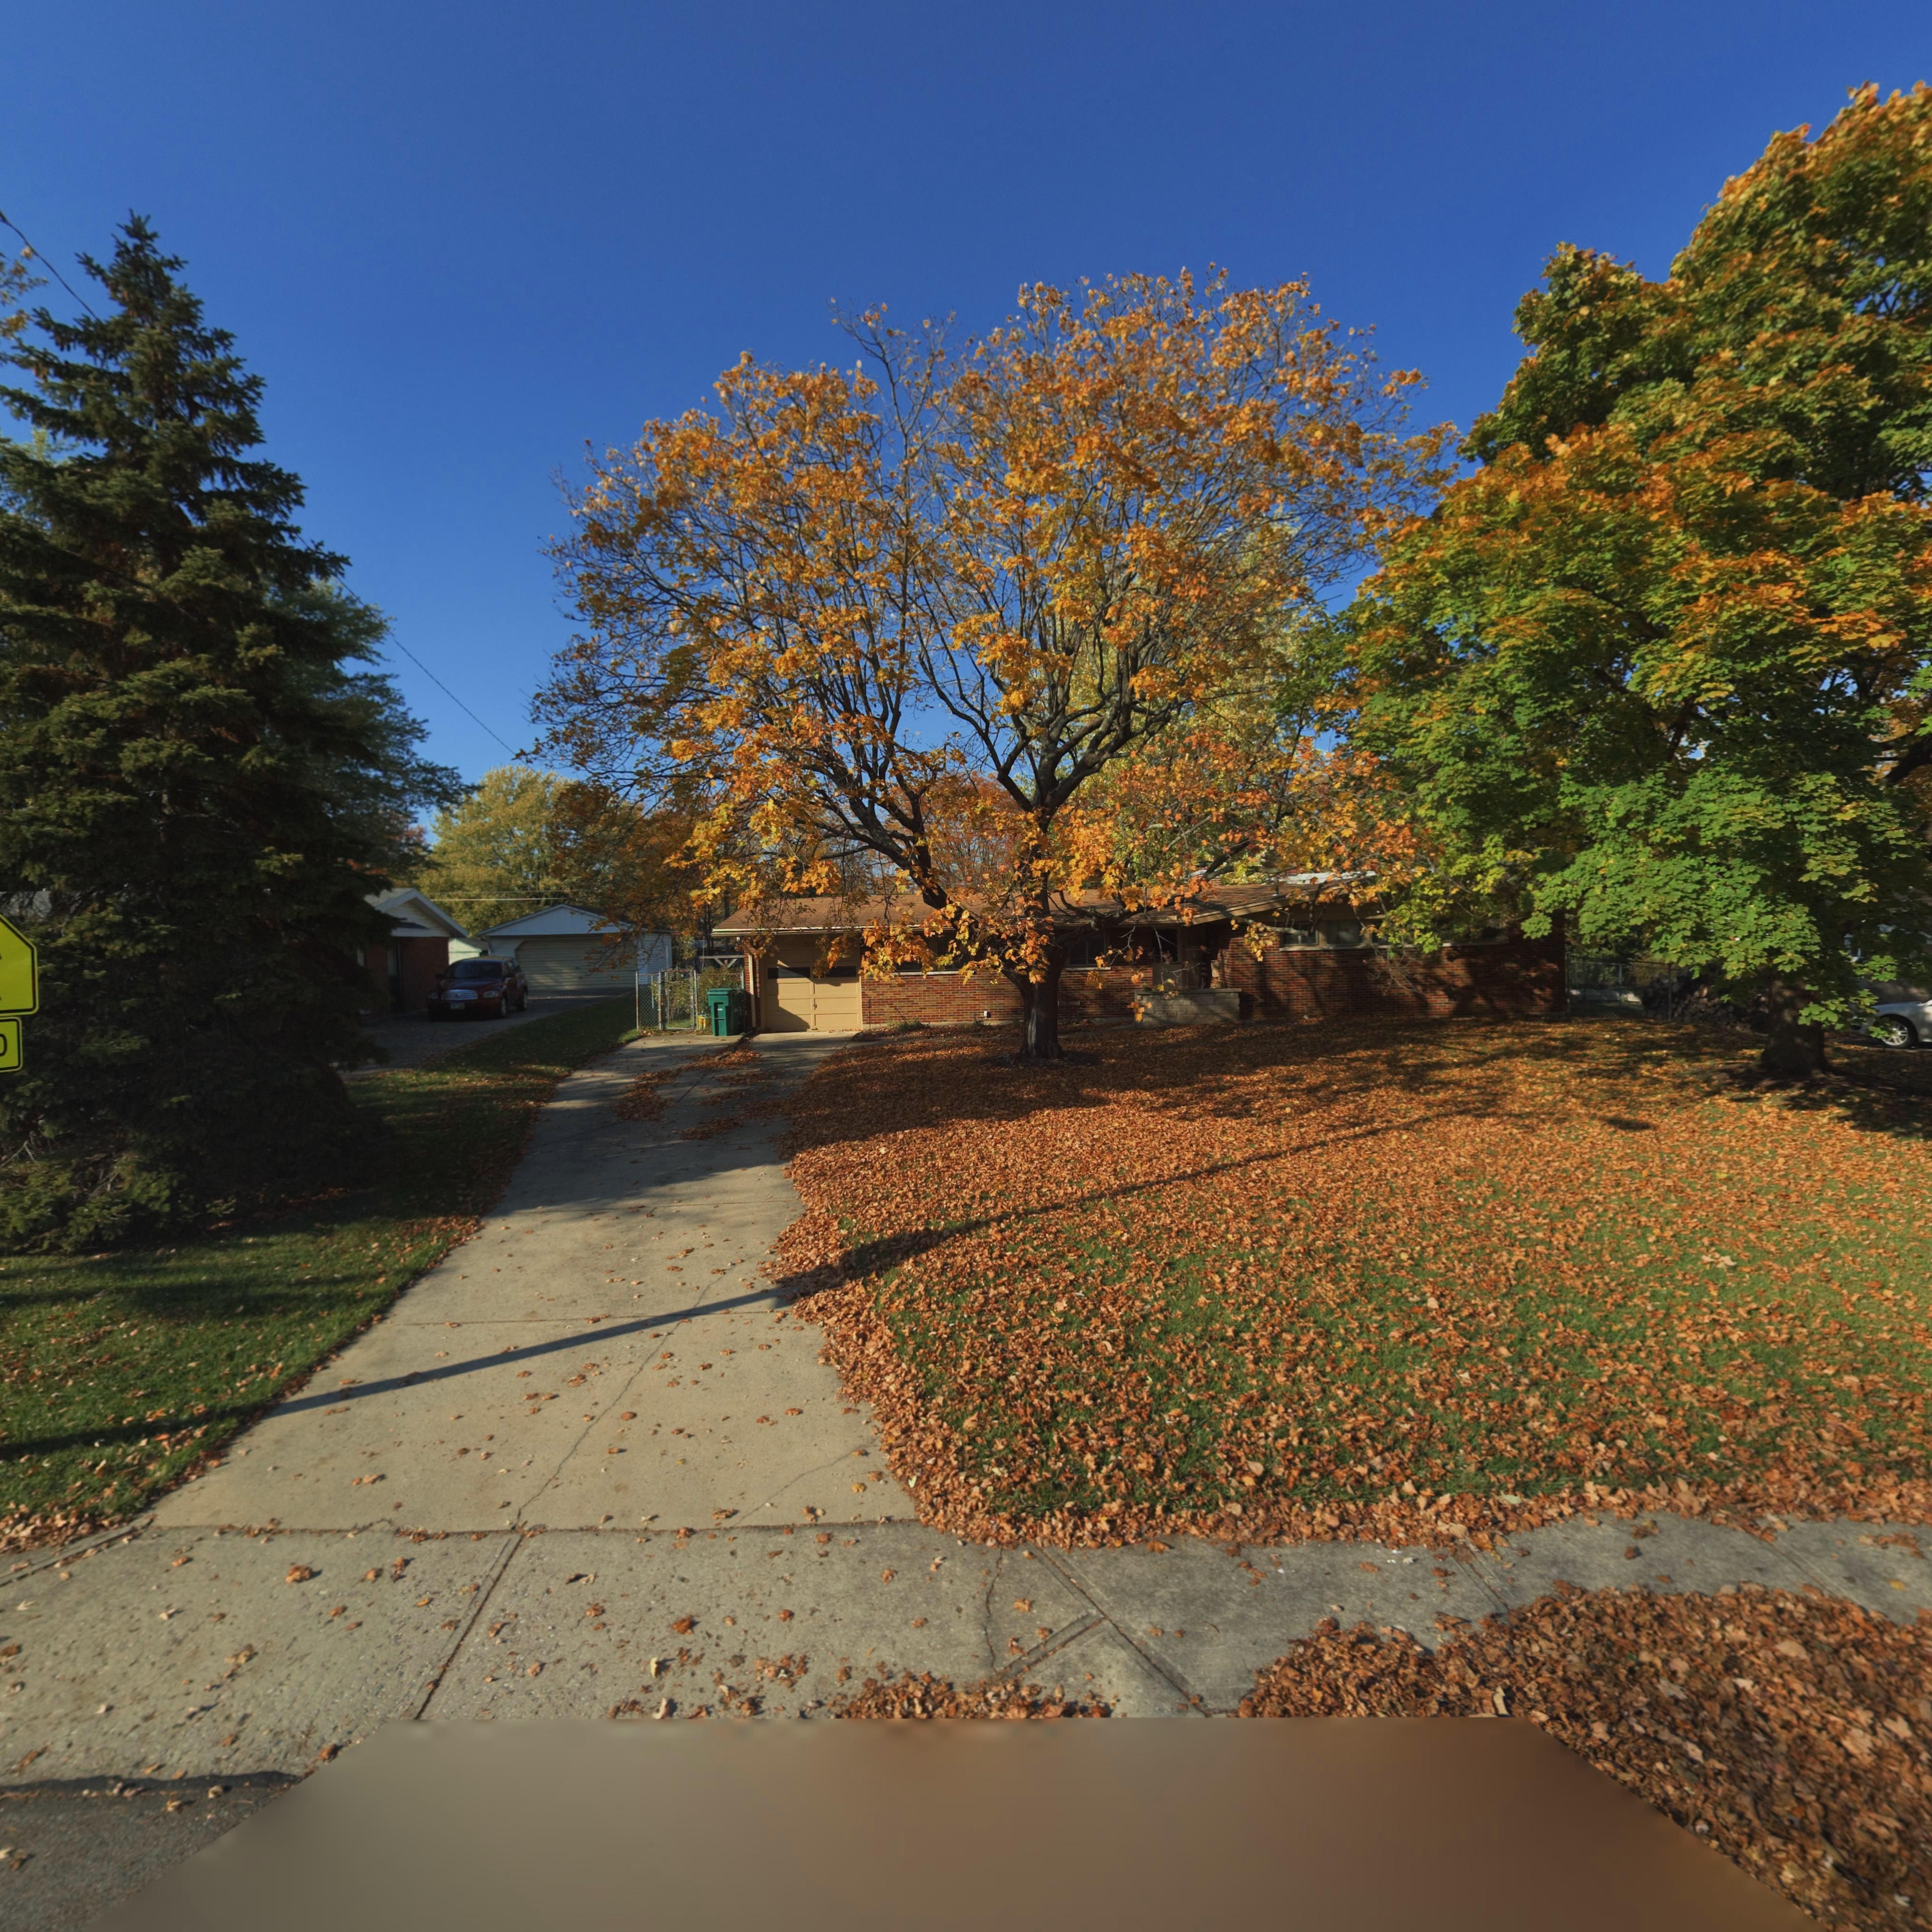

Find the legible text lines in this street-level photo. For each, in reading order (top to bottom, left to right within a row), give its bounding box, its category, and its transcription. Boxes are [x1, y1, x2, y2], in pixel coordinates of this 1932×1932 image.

[804, 941, 814, 947] StreetNumber: 713